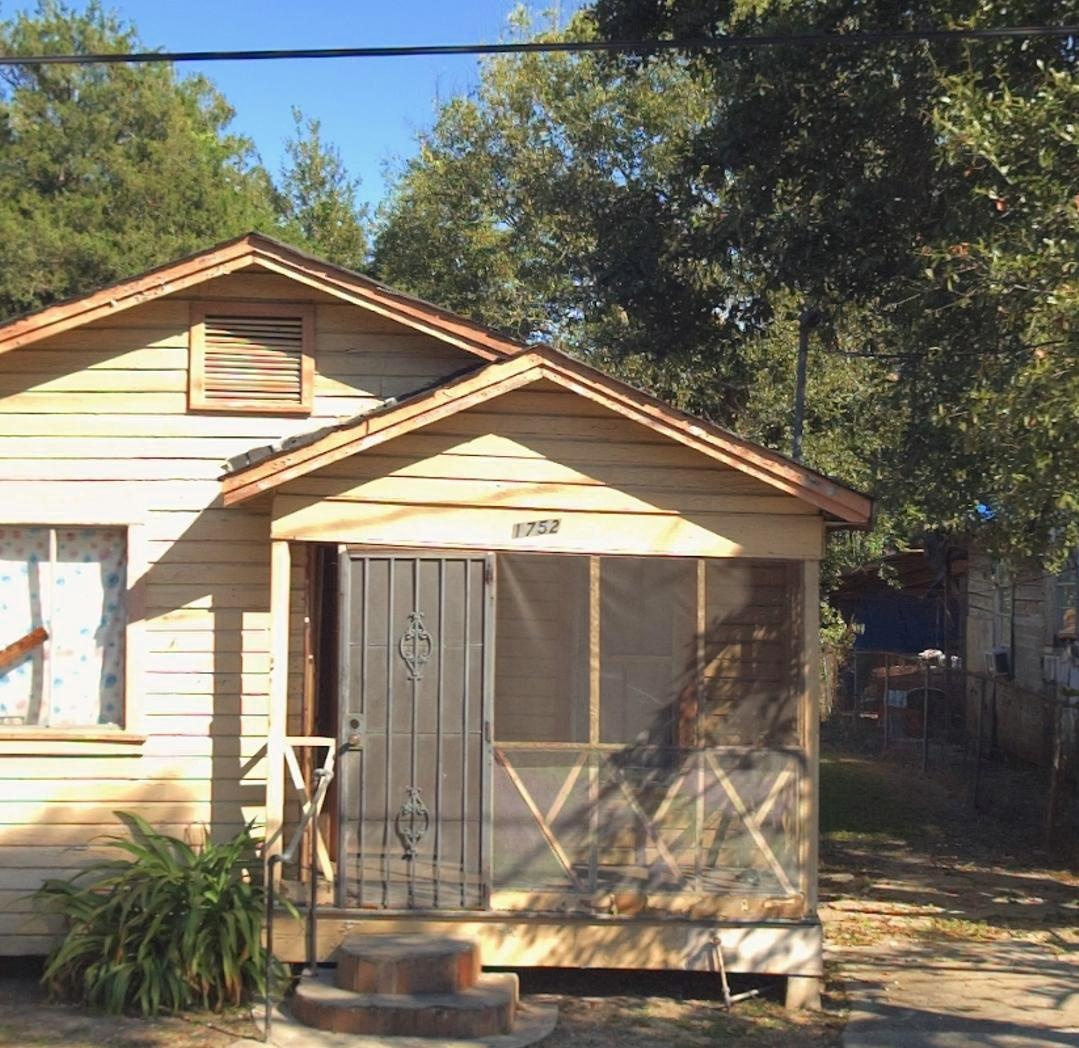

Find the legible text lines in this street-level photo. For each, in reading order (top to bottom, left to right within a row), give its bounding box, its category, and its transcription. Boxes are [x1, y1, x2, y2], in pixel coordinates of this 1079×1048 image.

[513, 518, 562, 539] StreetNumber: 1752